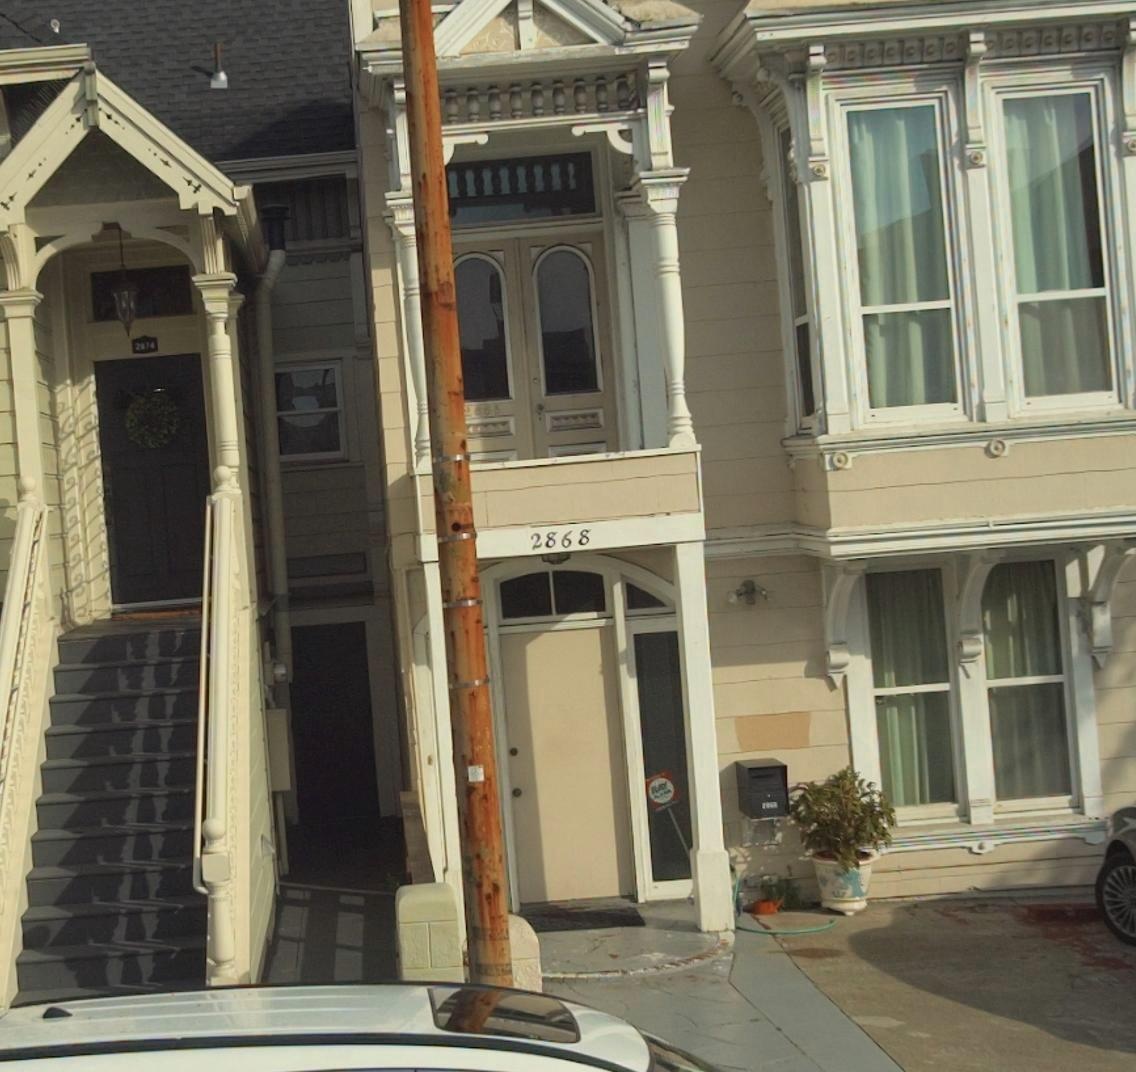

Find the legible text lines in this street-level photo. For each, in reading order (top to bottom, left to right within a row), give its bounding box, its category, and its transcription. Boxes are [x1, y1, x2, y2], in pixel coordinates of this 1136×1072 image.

[527, 525, 595, 554] StreetNumber: 2868